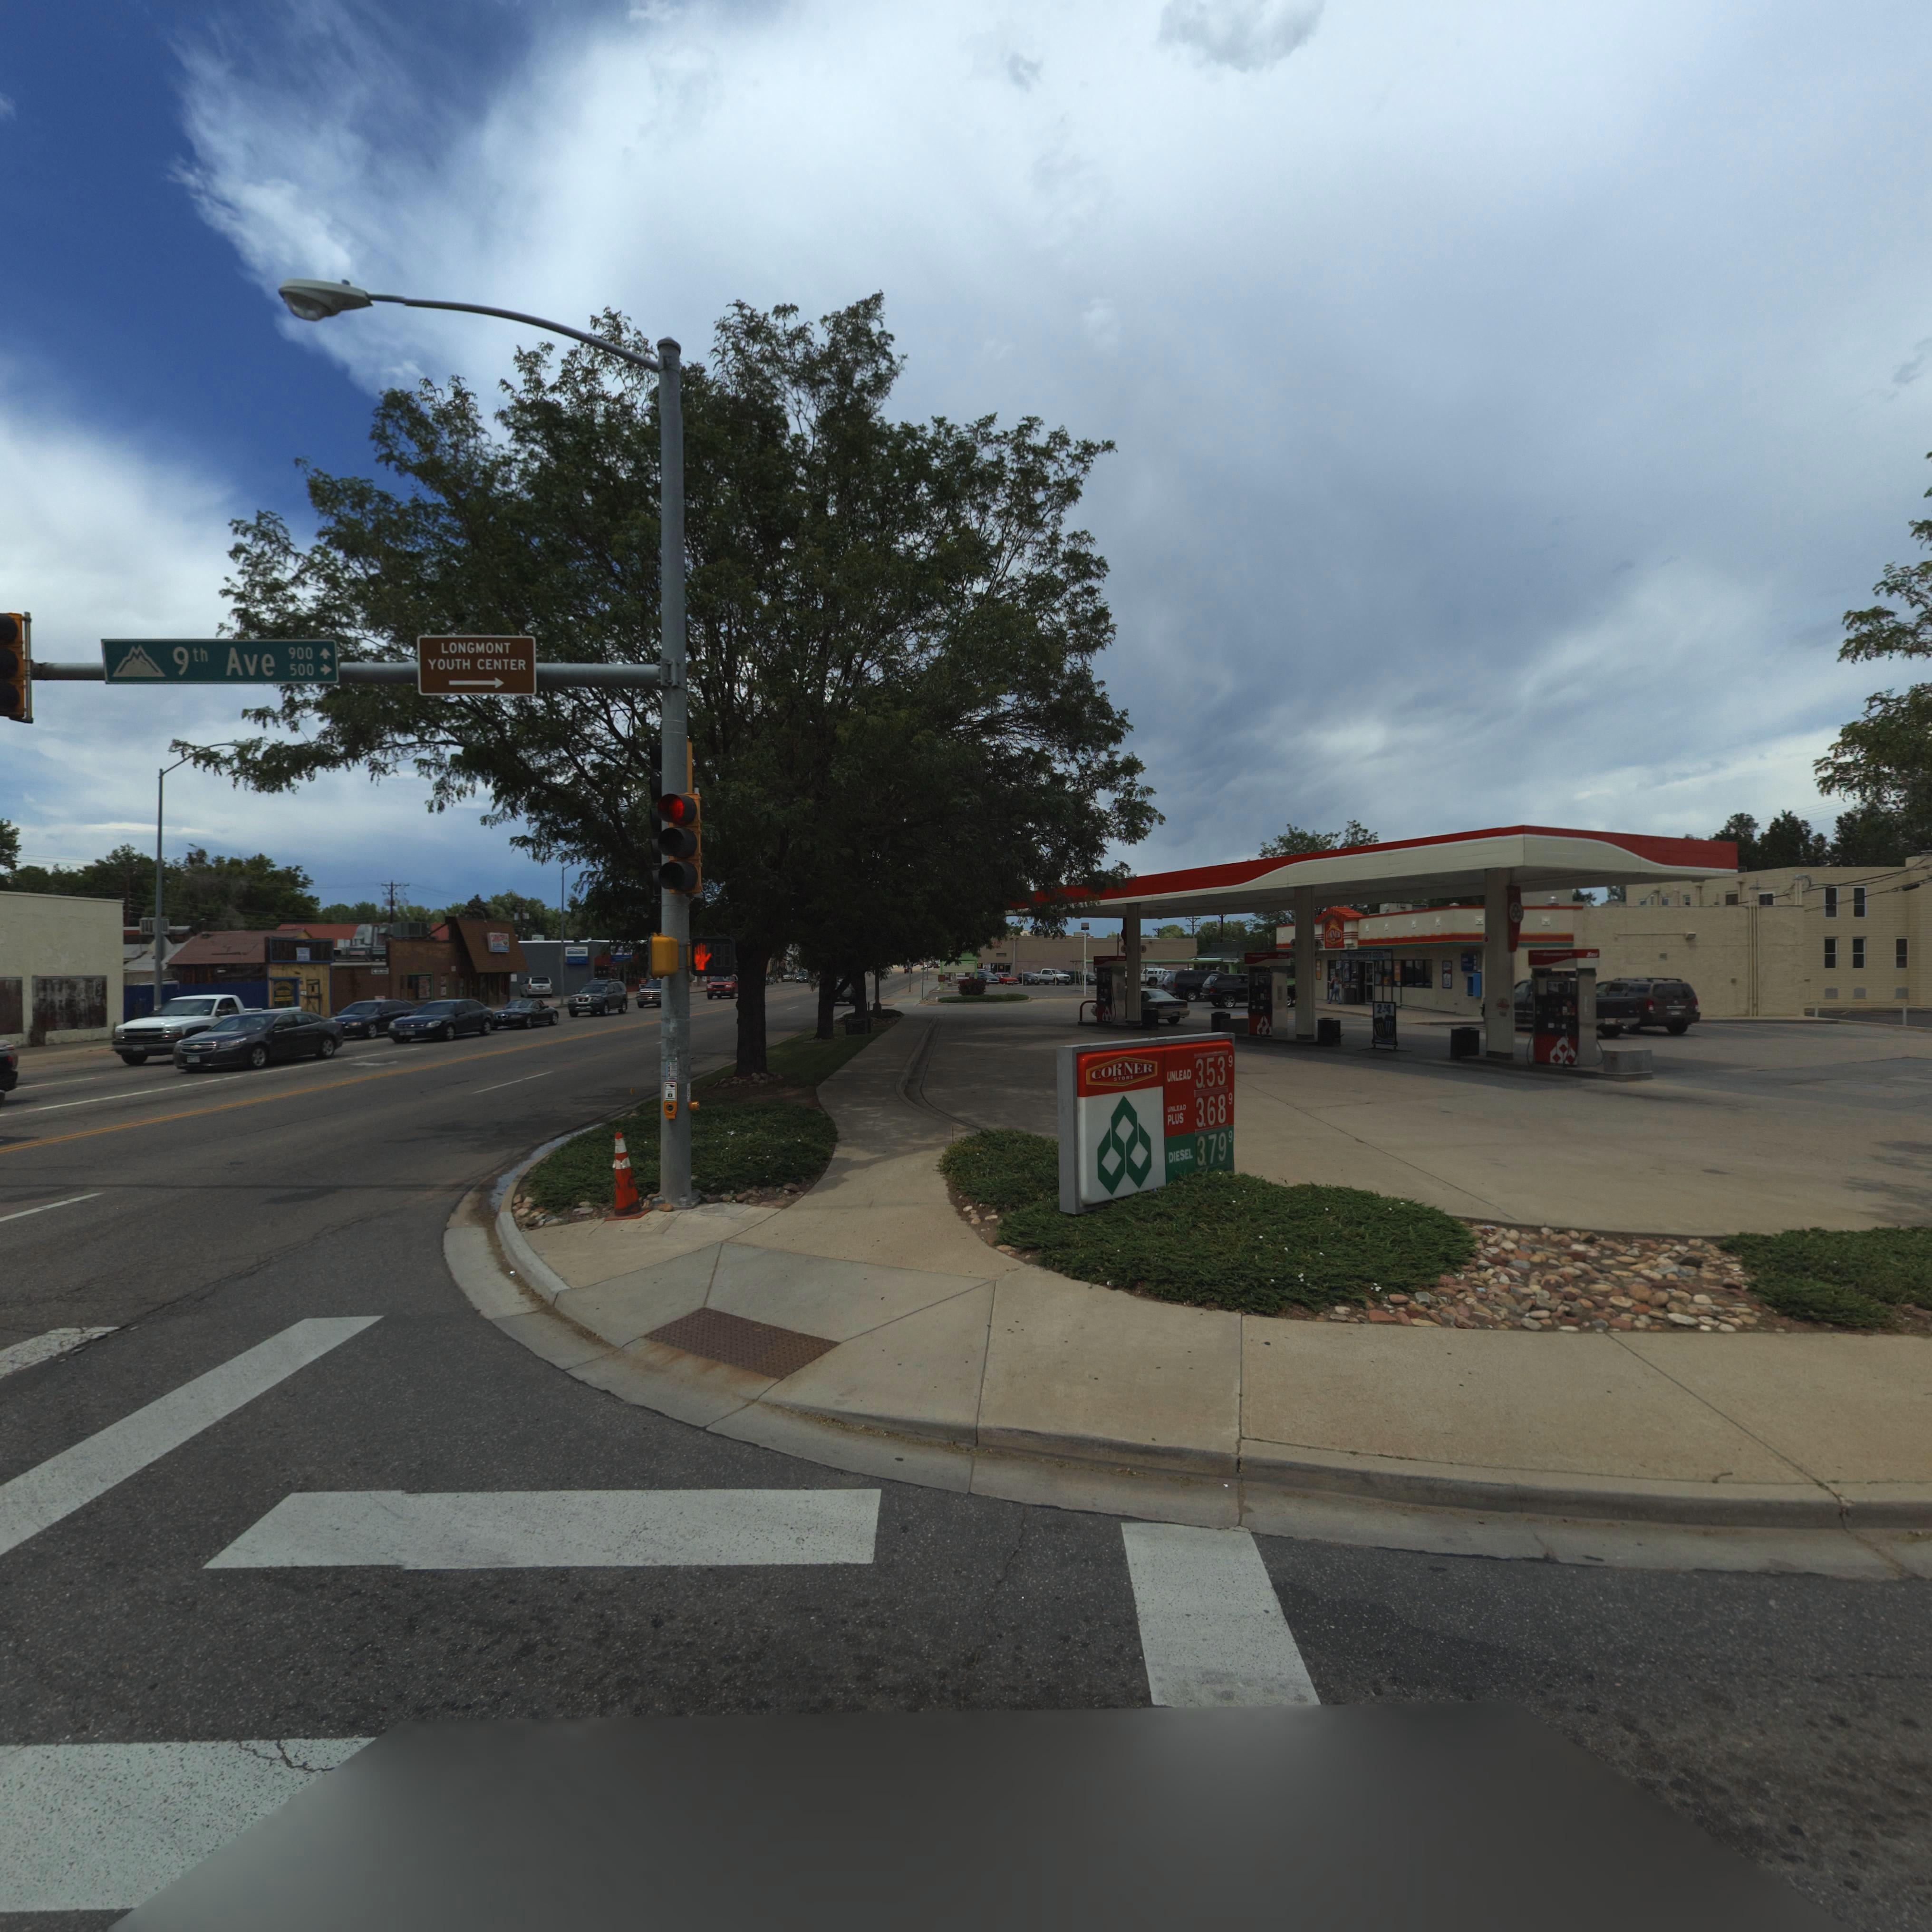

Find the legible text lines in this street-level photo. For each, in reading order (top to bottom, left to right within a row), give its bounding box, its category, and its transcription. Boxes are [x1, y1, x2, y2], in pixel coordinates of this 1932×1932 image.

[288, 647, 313, 660] StreetNumberRange: 900
[172, 647, 275, 677] StreetName: 9th Ave
[290, 663, 331, 677] StreetNumberRange: 500 ->
[1091, 1061, 1152, 1079] BusinessName: CORNER
[1113, 1075, 1133, 1081] BusinessName: STORE